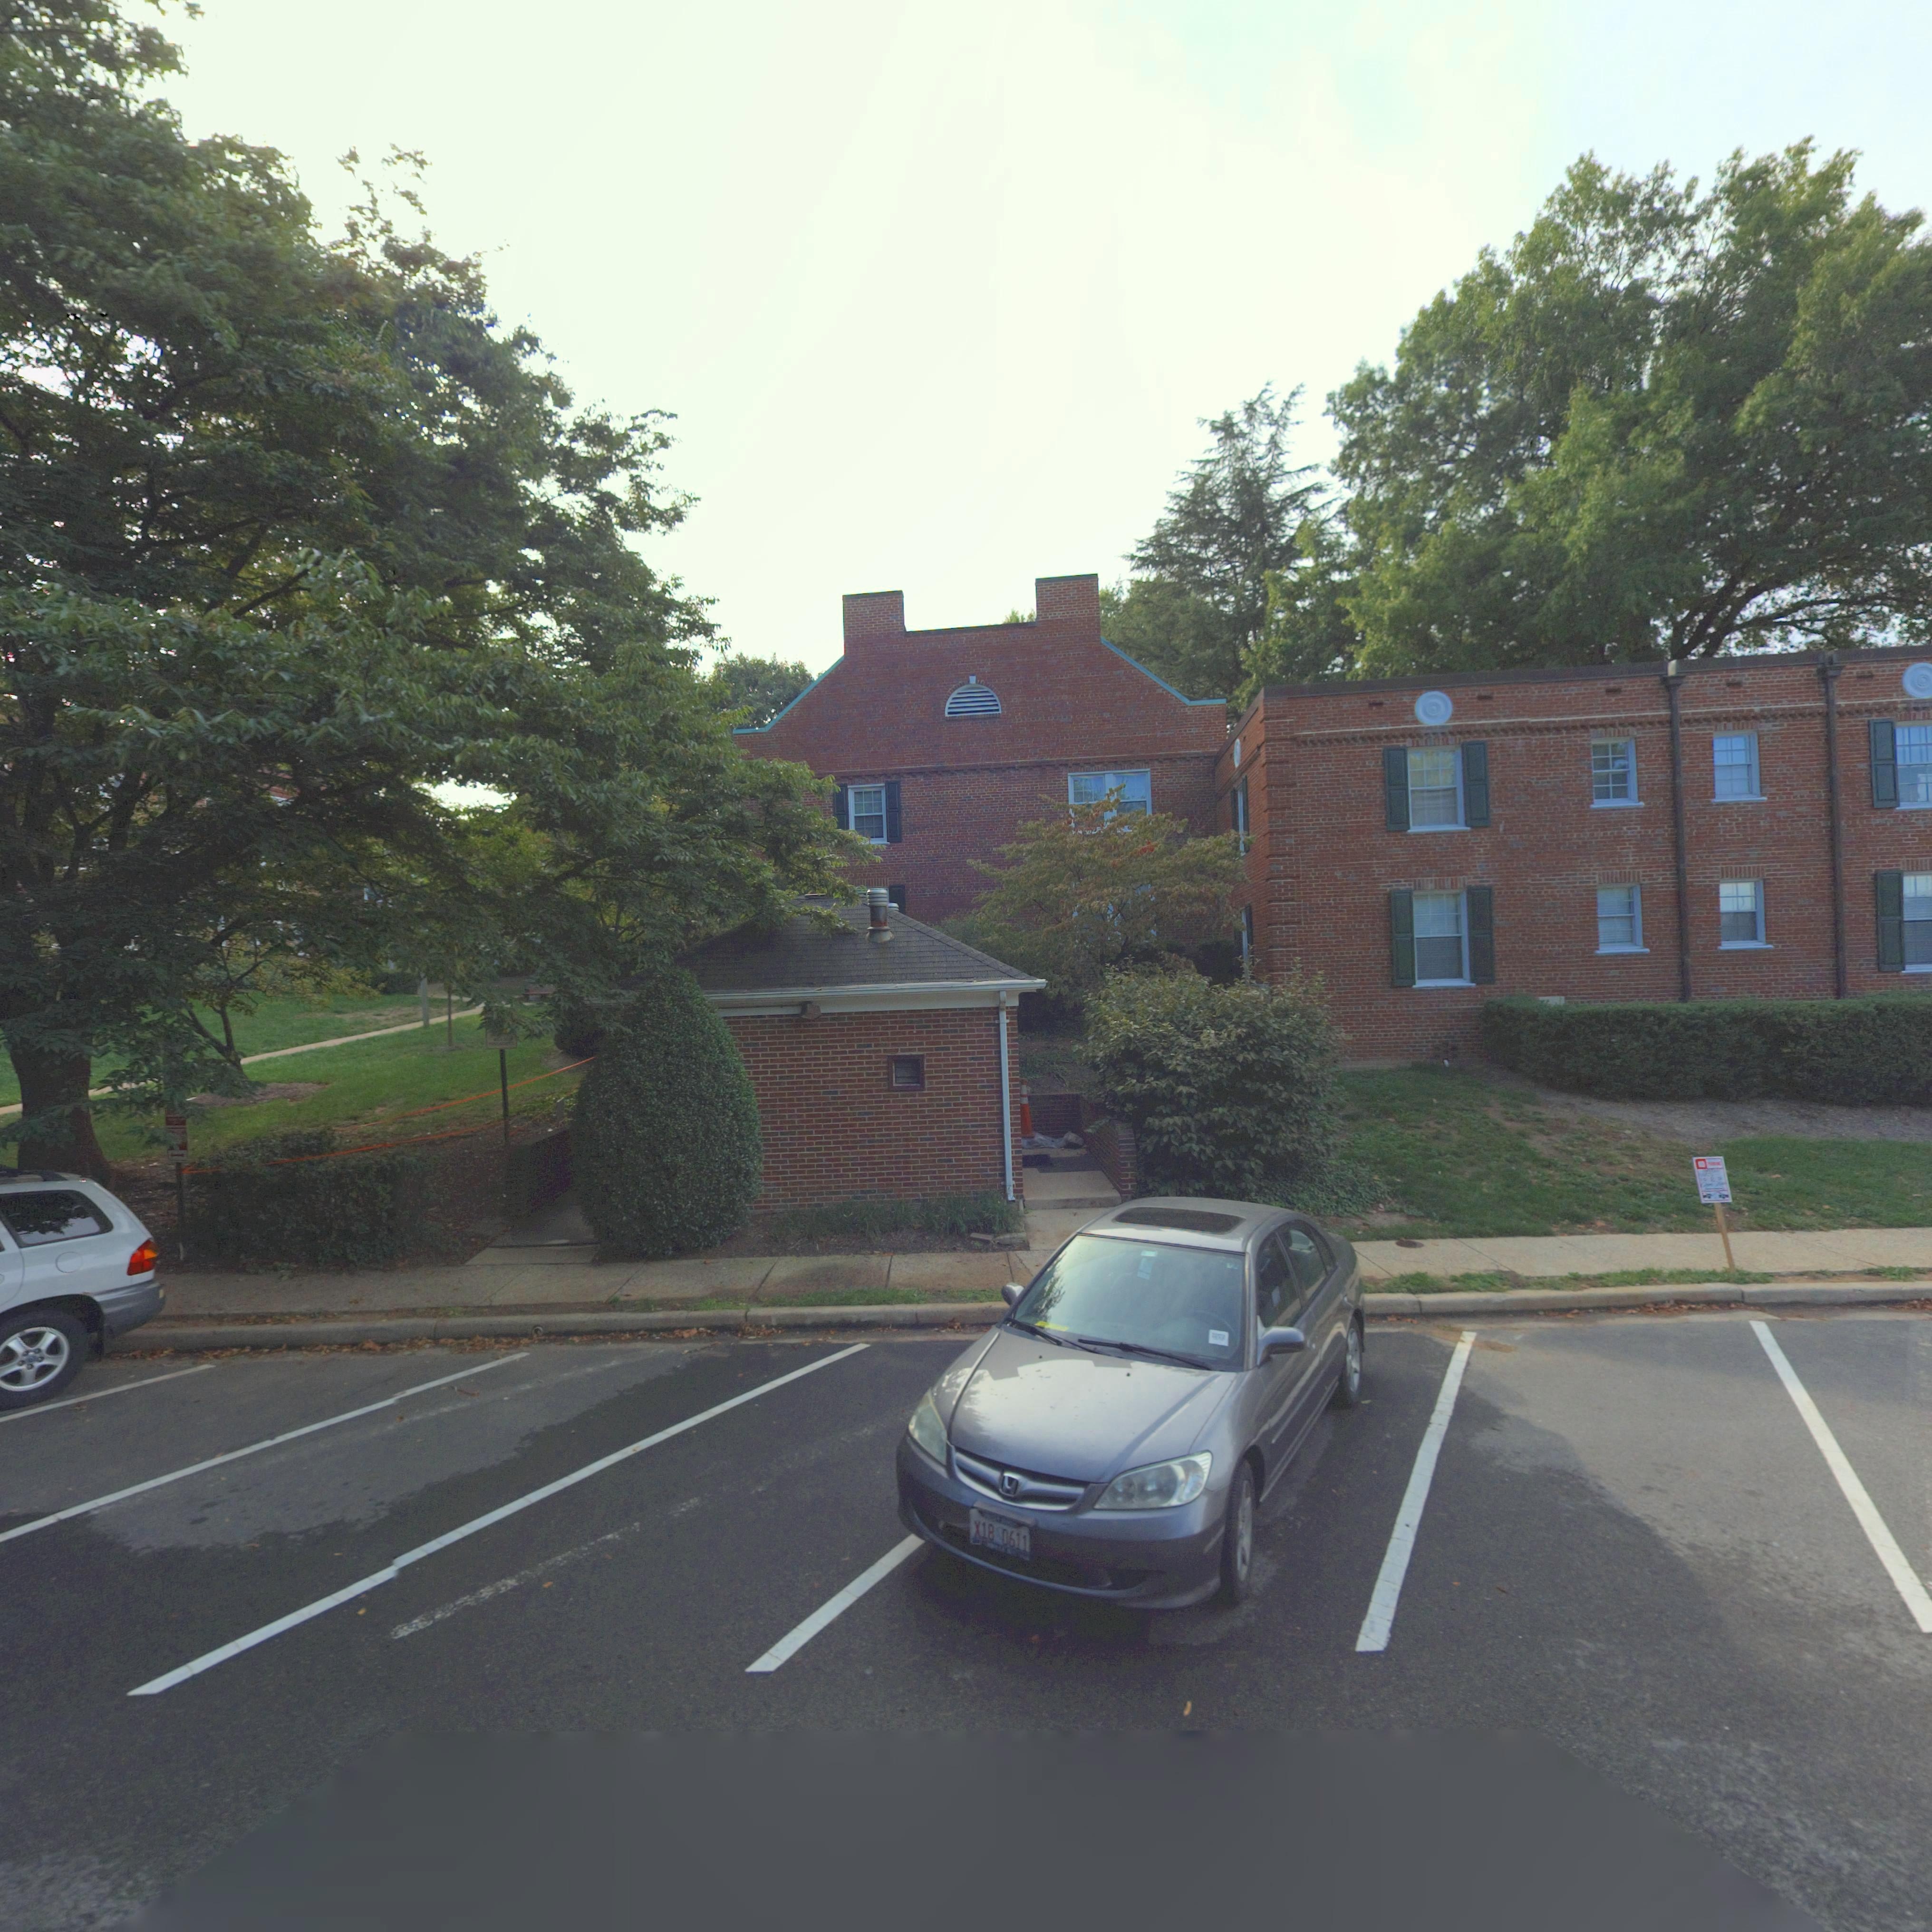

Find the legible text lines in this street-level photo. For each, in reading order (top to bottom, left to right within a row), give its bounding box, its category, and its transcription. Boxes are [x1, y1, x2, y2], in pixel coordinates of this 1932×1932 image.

[971, 1517, 1030, 1554] None: X18 0611